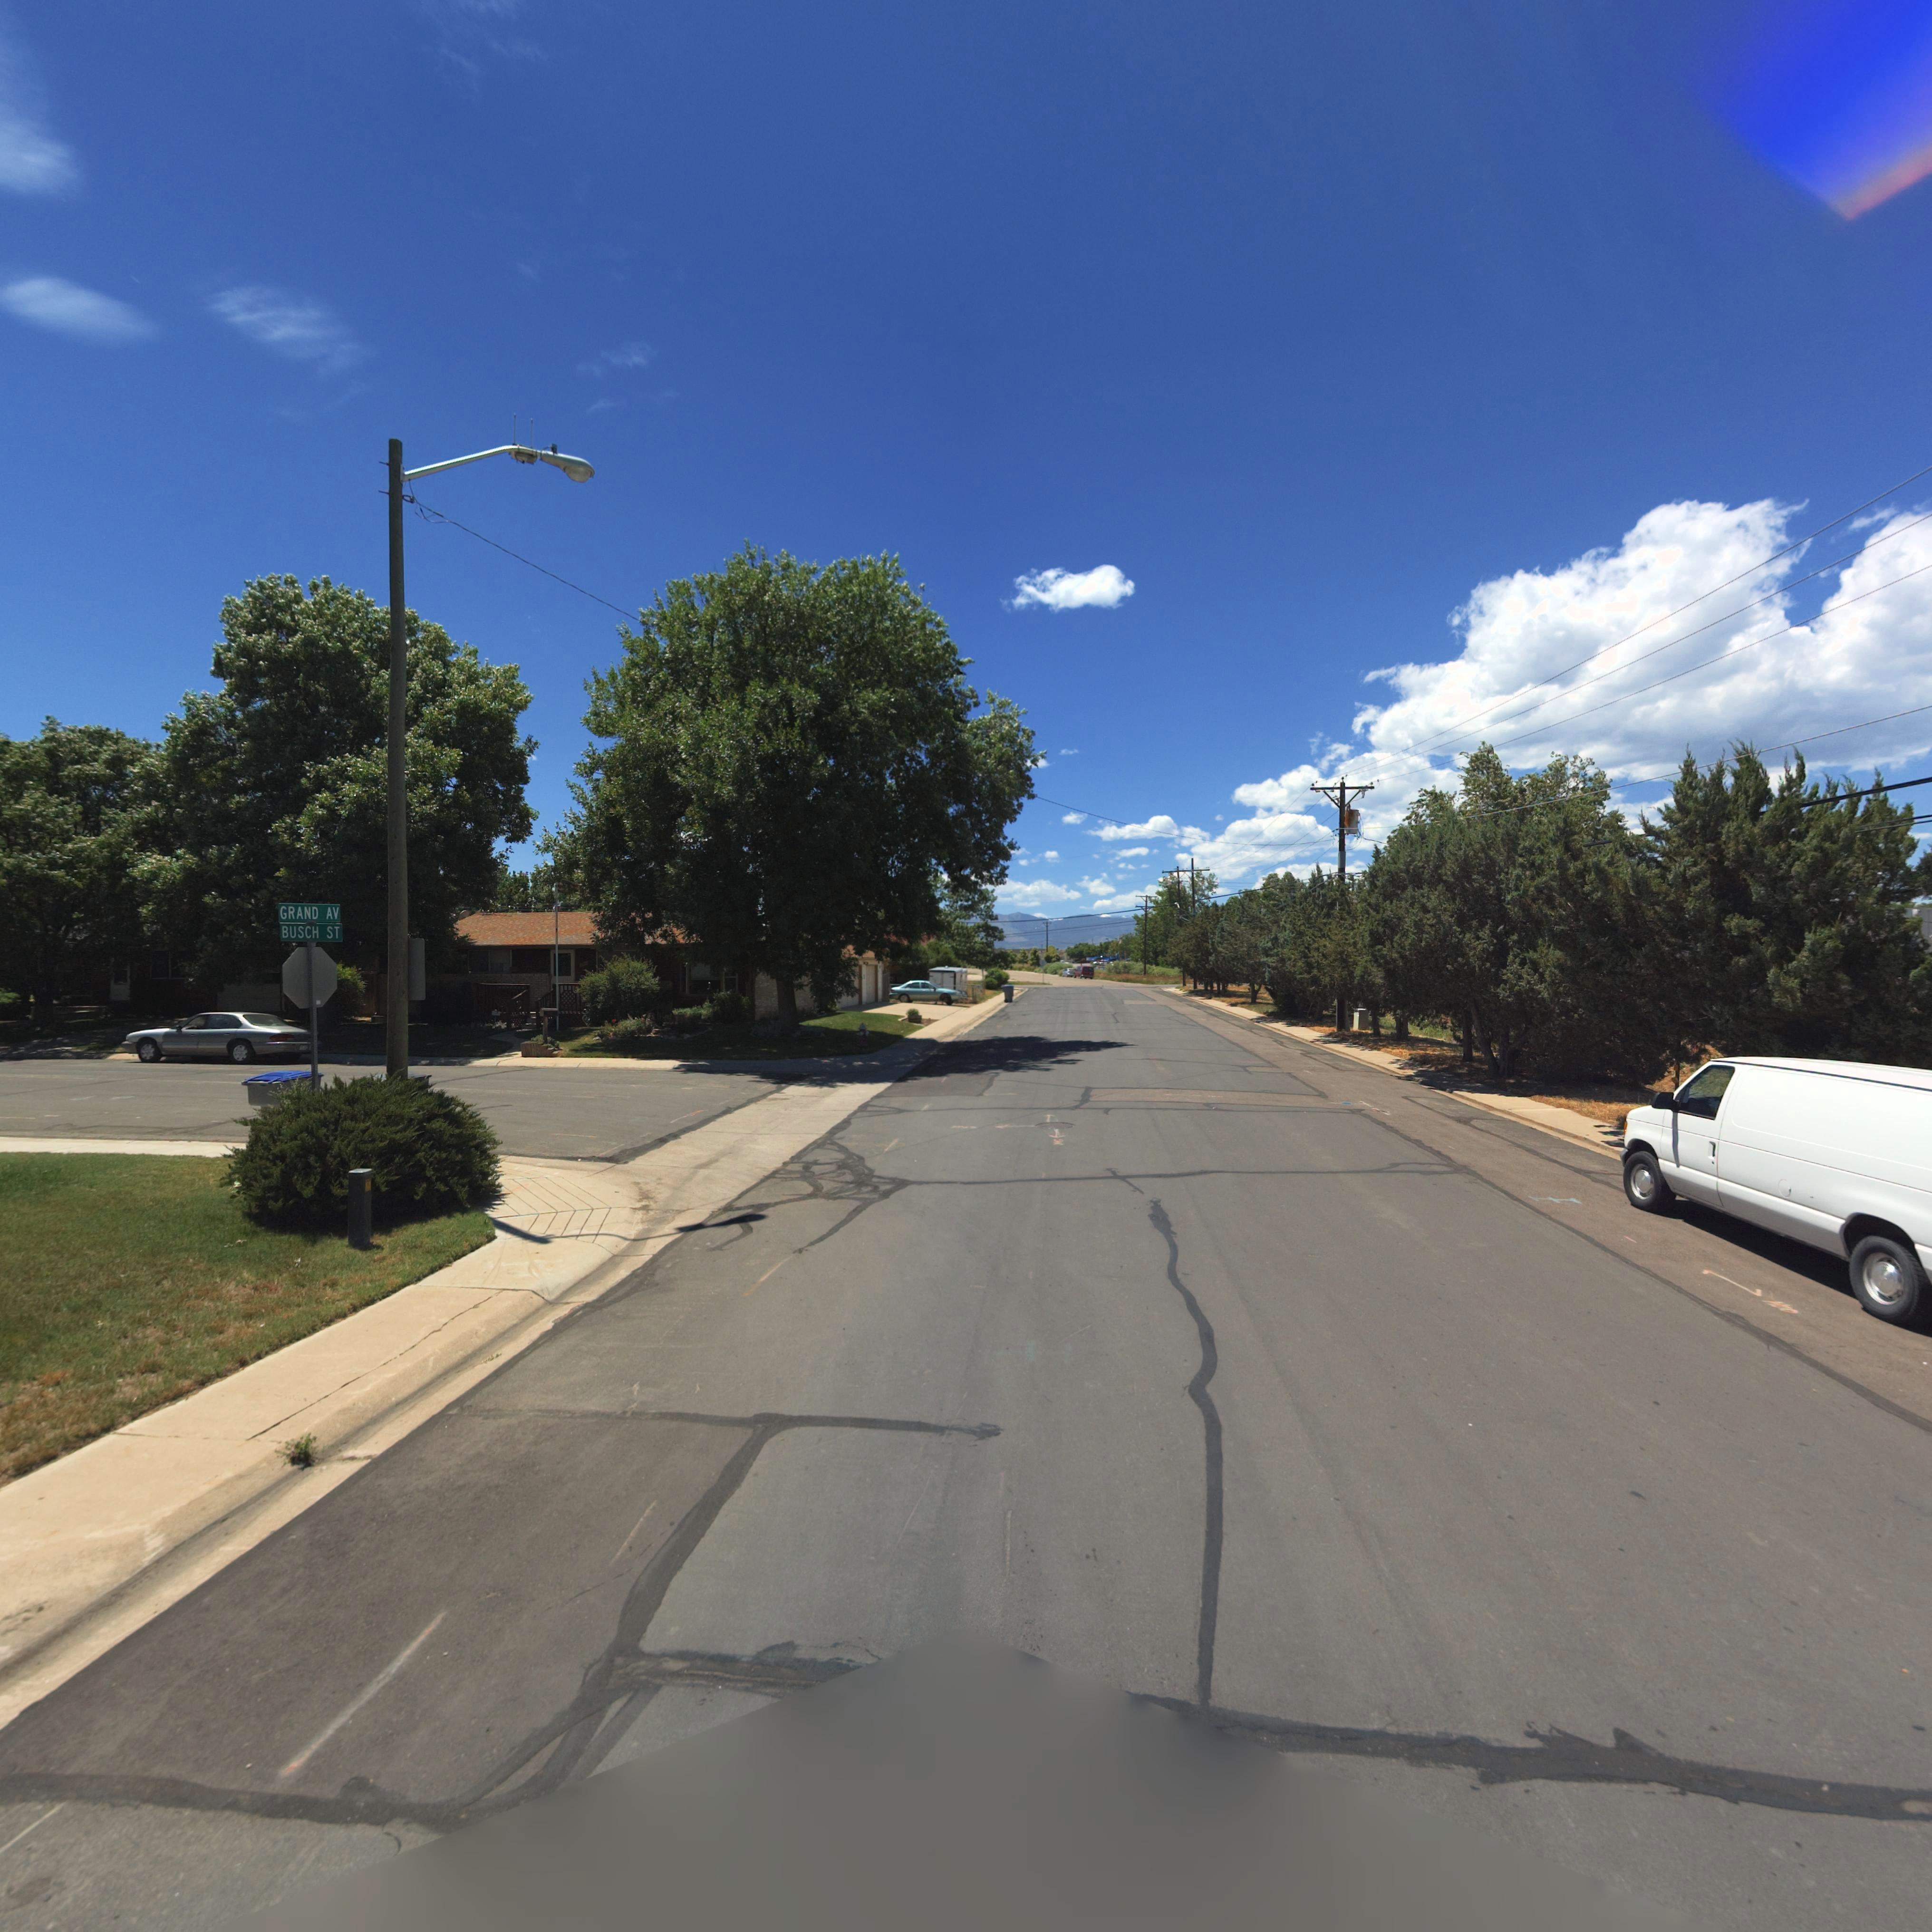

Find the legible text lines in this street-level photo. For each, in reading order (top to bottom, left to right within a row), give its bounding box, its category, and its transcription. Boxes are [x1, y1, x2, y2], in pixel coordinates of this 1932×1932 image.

[279, 905, 339, 920] StreetName: GRAND AV
[281, 925, 340, 939] StreetName: BUSCH ST